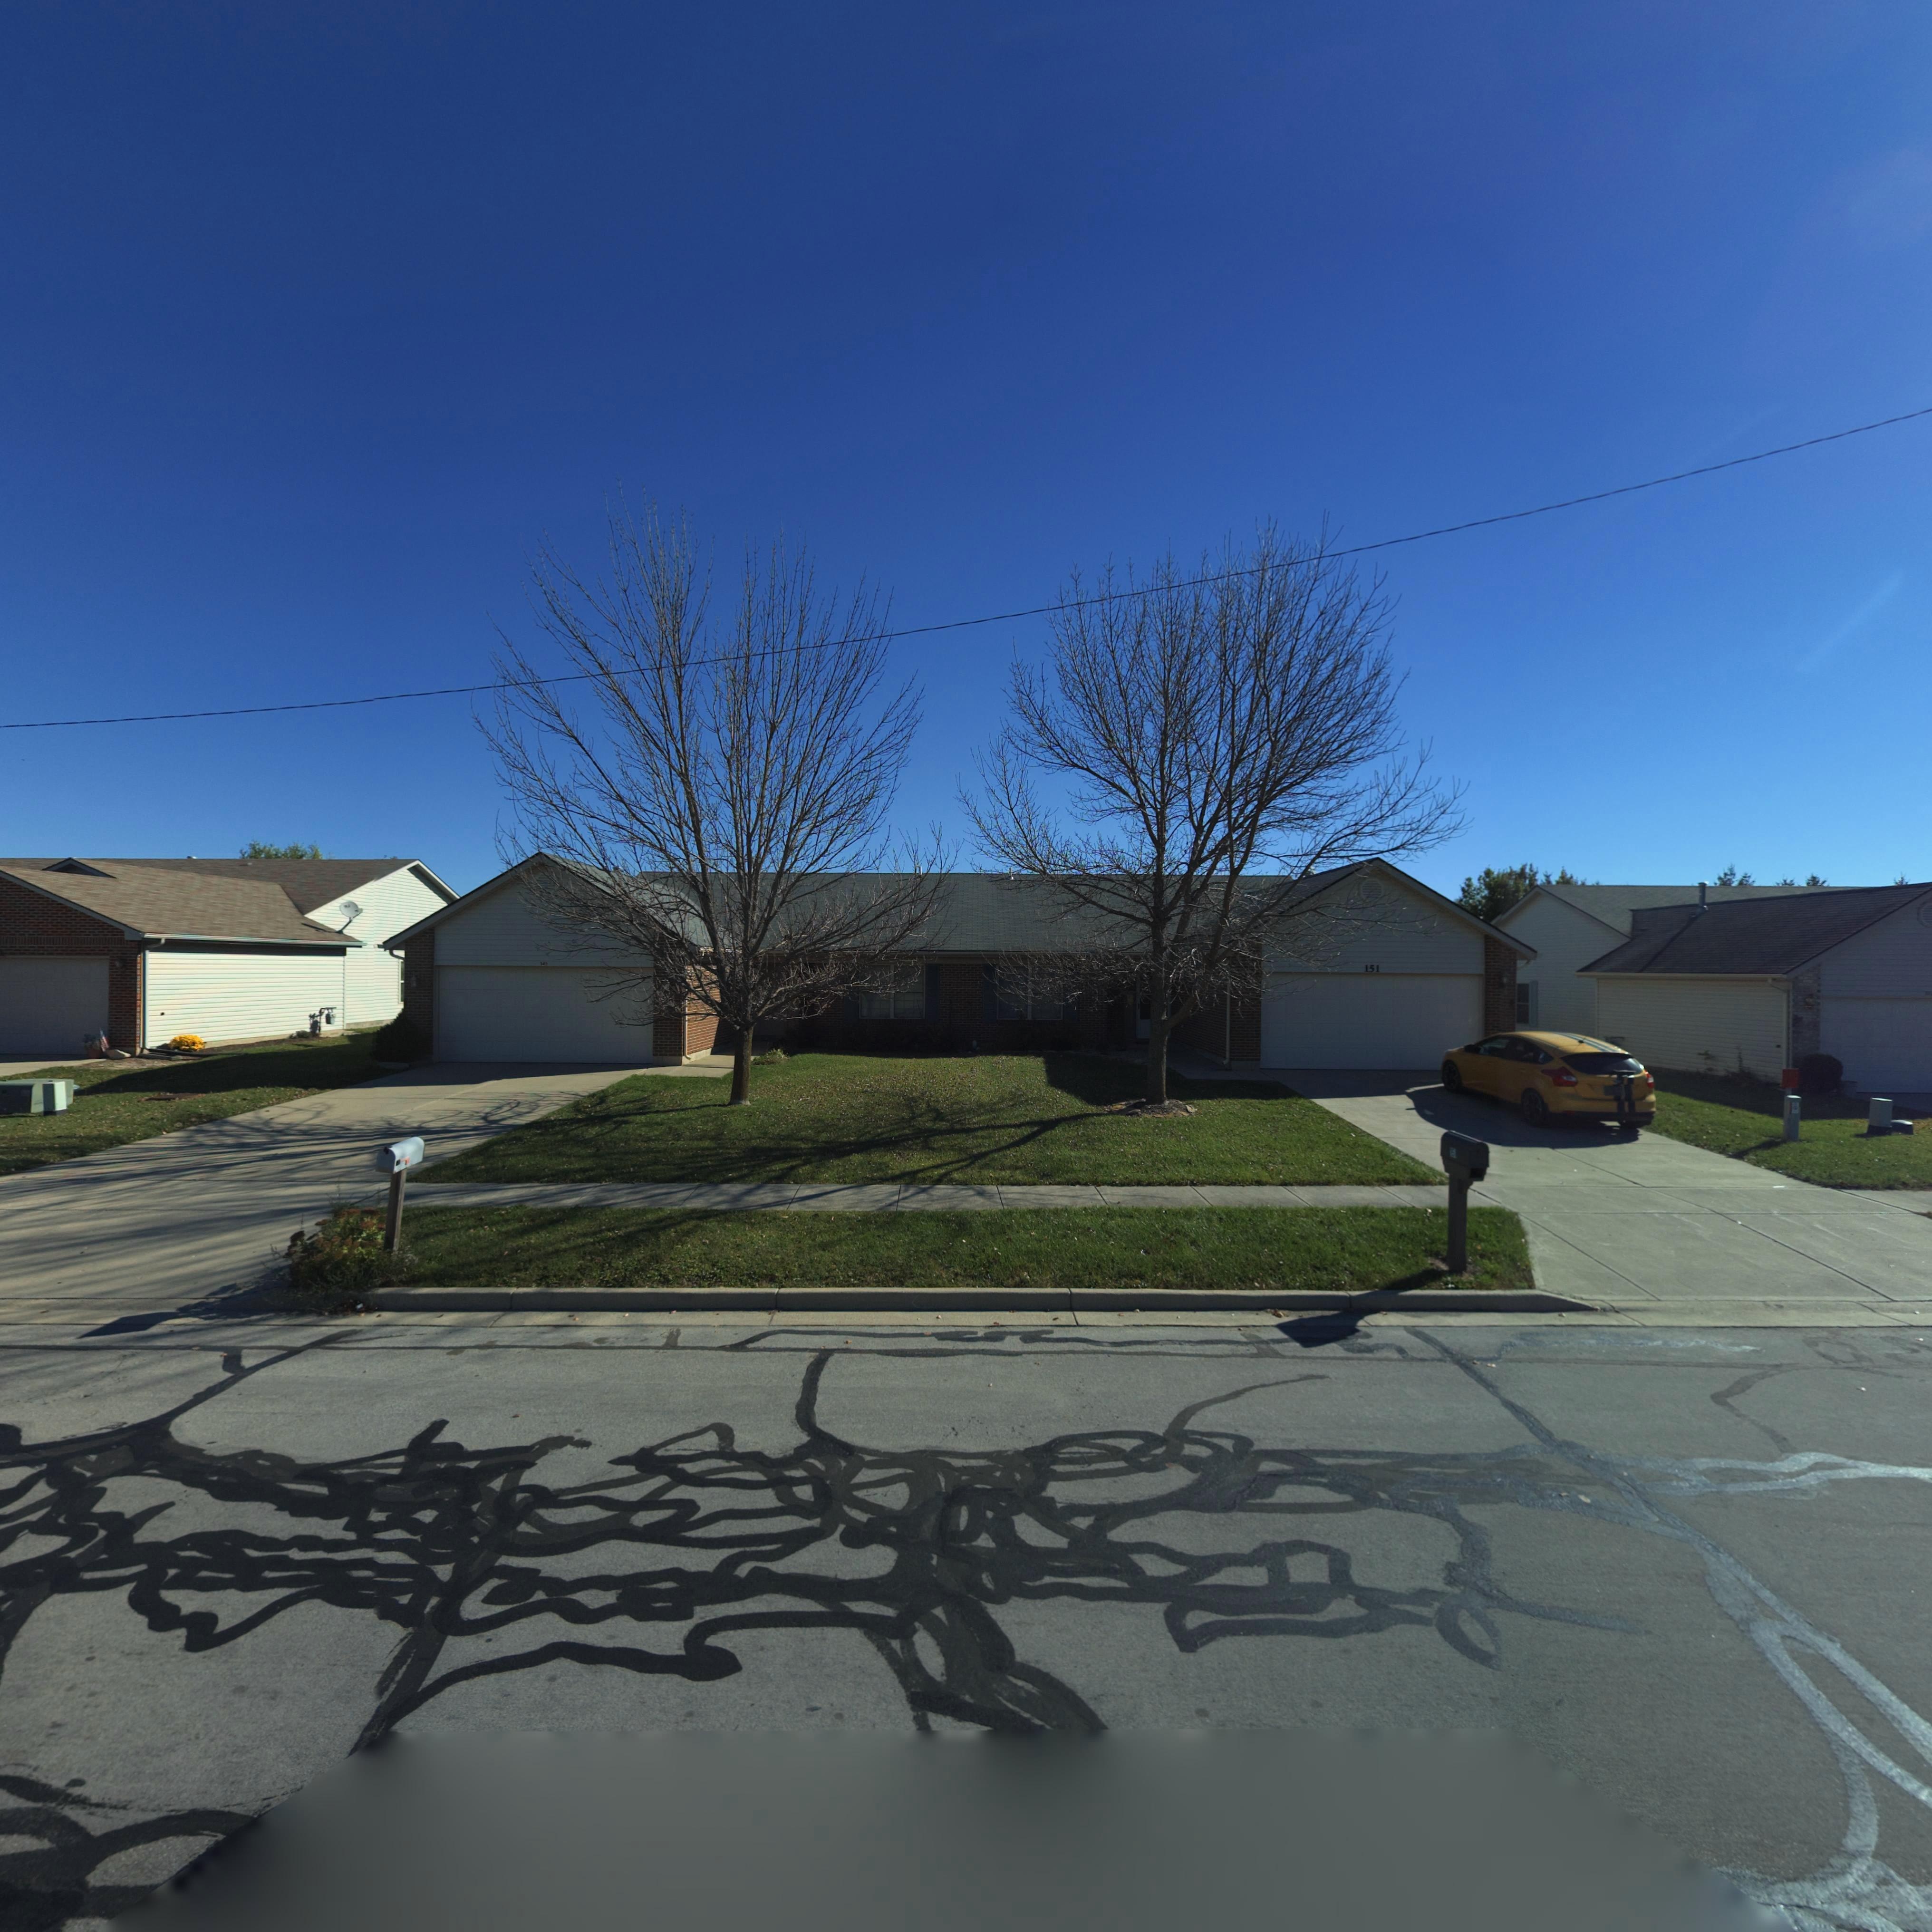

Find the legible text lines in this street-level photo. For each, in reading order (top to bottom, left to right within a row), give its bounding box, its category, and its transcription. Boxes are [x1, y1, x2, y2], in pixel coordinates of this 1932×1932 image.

[540, 962, 548, 966] StreetNumber: 14*
[1364, 964, 1380, 973] StreetNumber: 151
[1449, 1147, 1458, 1159] StreetNumber: *5*